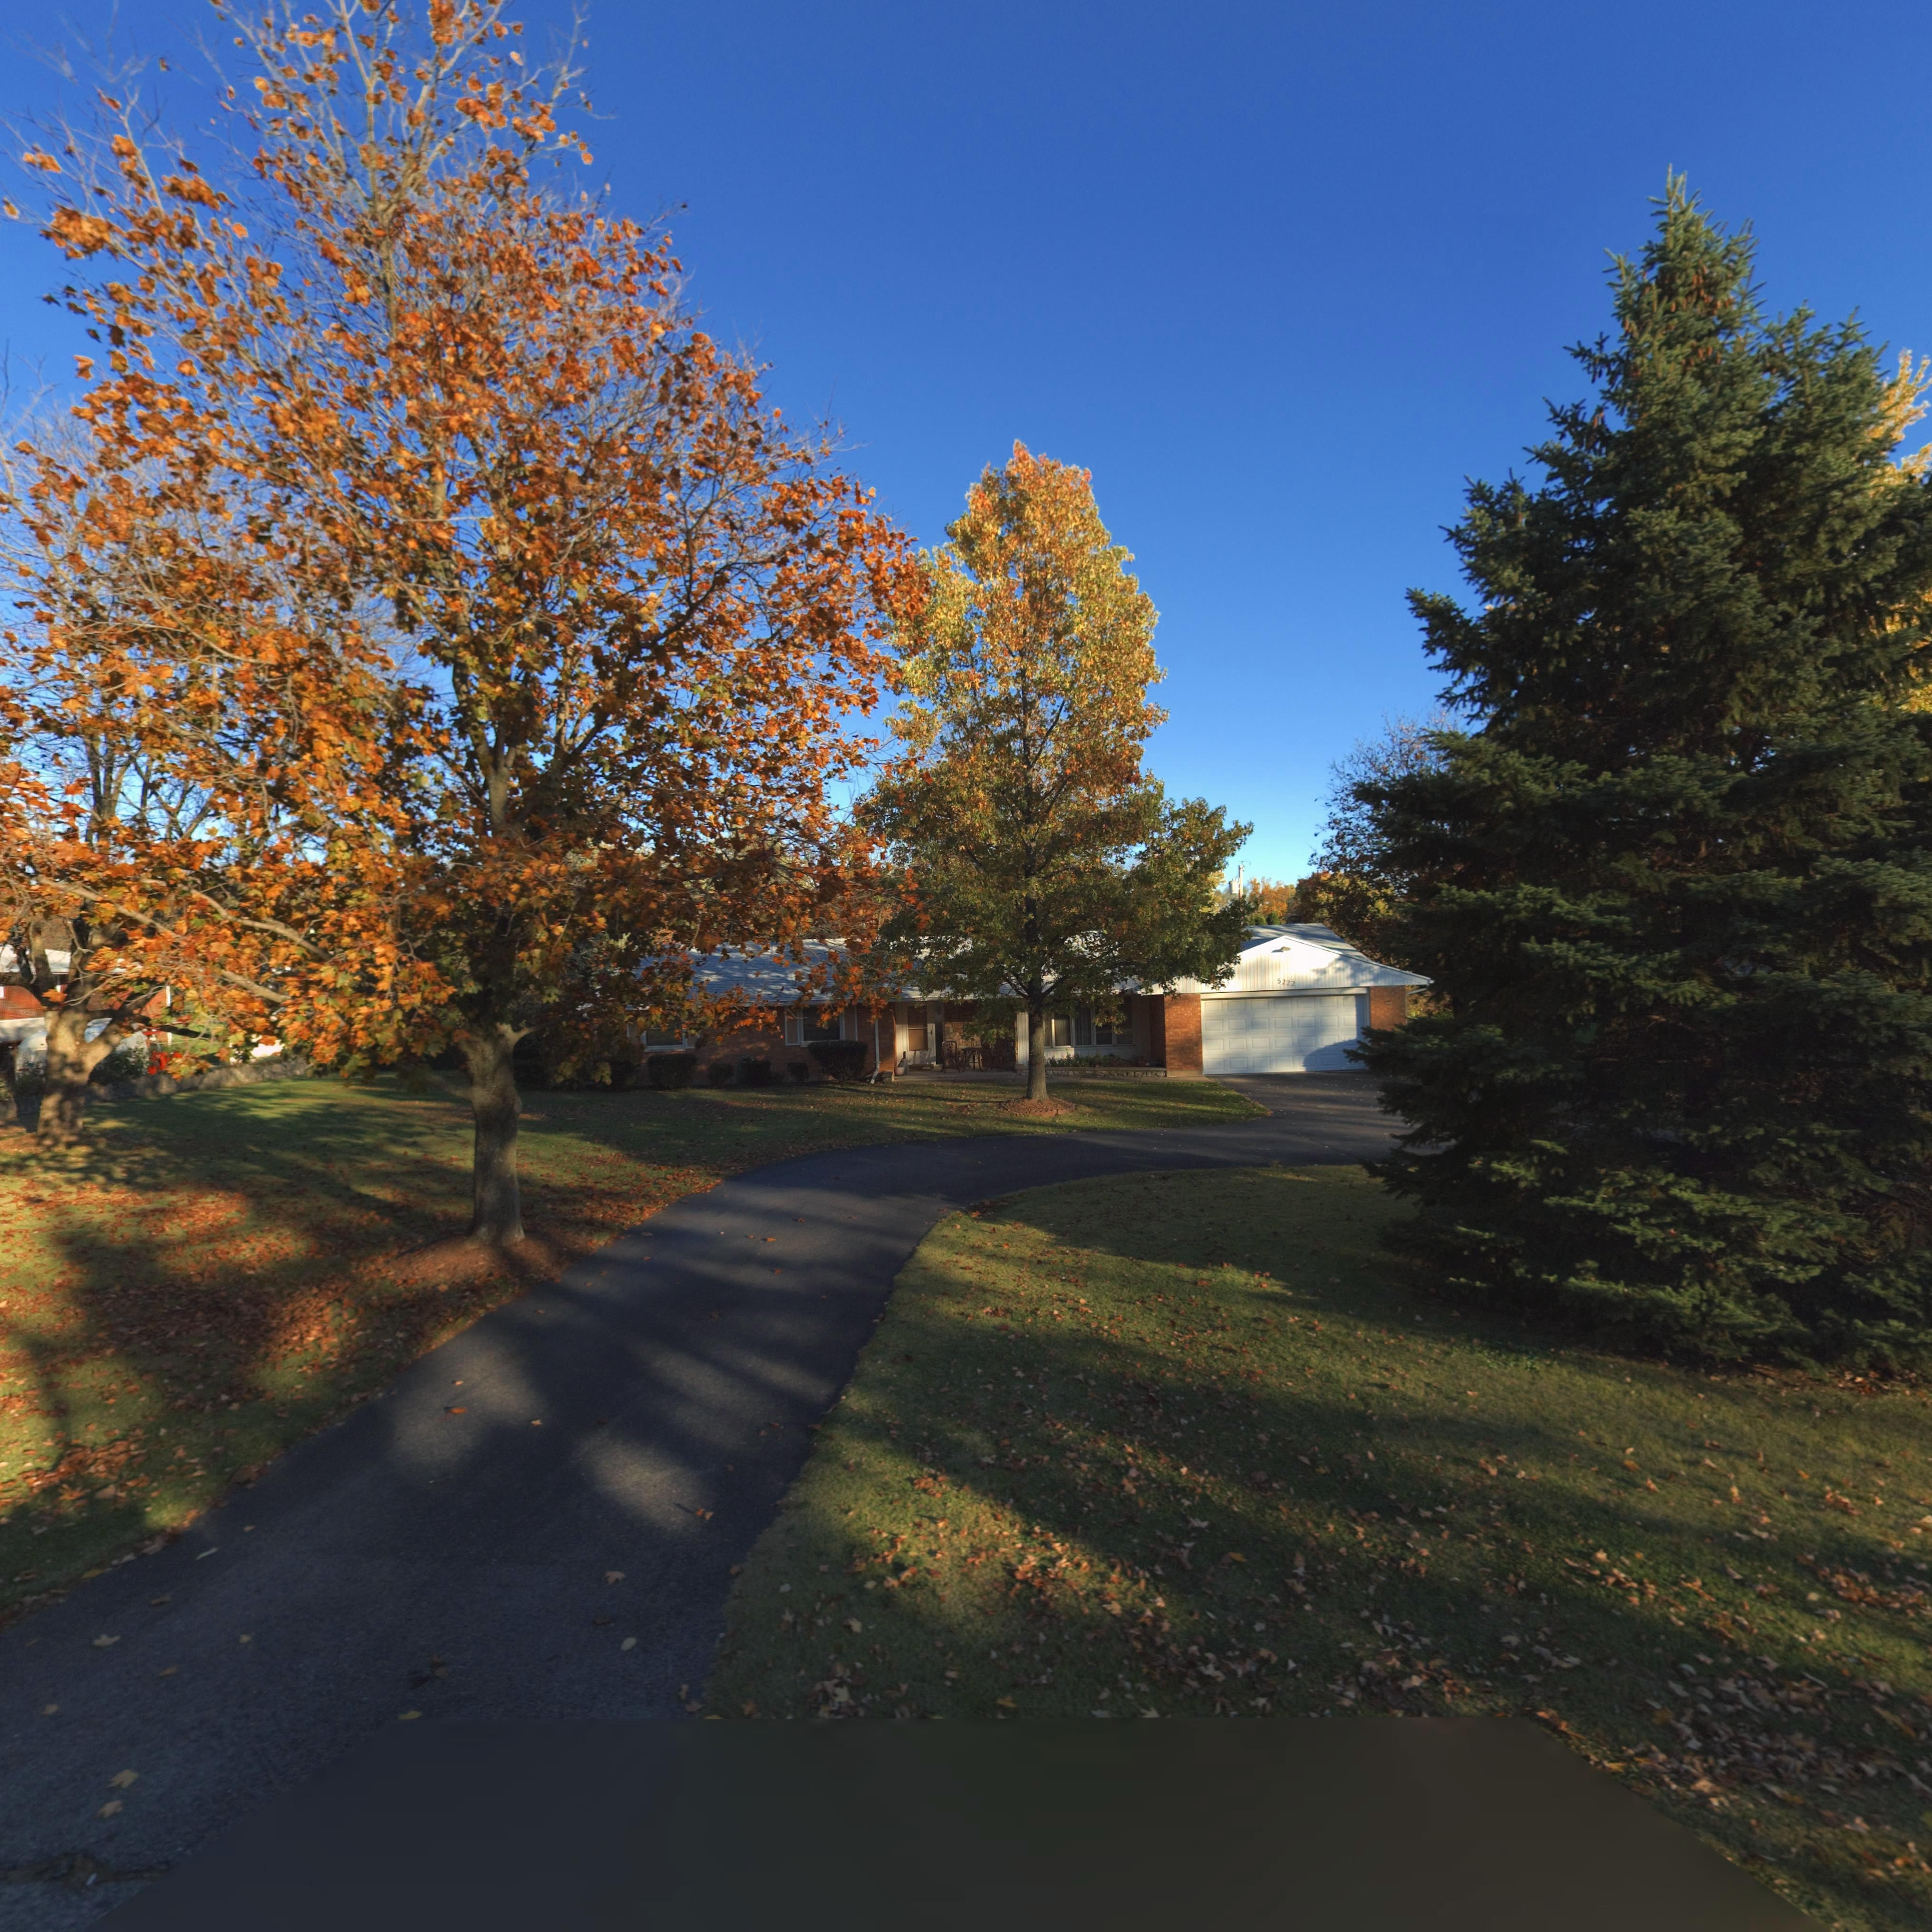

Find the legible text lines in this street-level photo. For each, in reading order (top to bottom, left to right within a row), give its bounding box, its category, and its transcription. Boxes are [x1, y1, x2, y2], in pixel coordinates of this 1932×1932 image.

[1276, 976, 1297, 987] StreetNumber: 5222